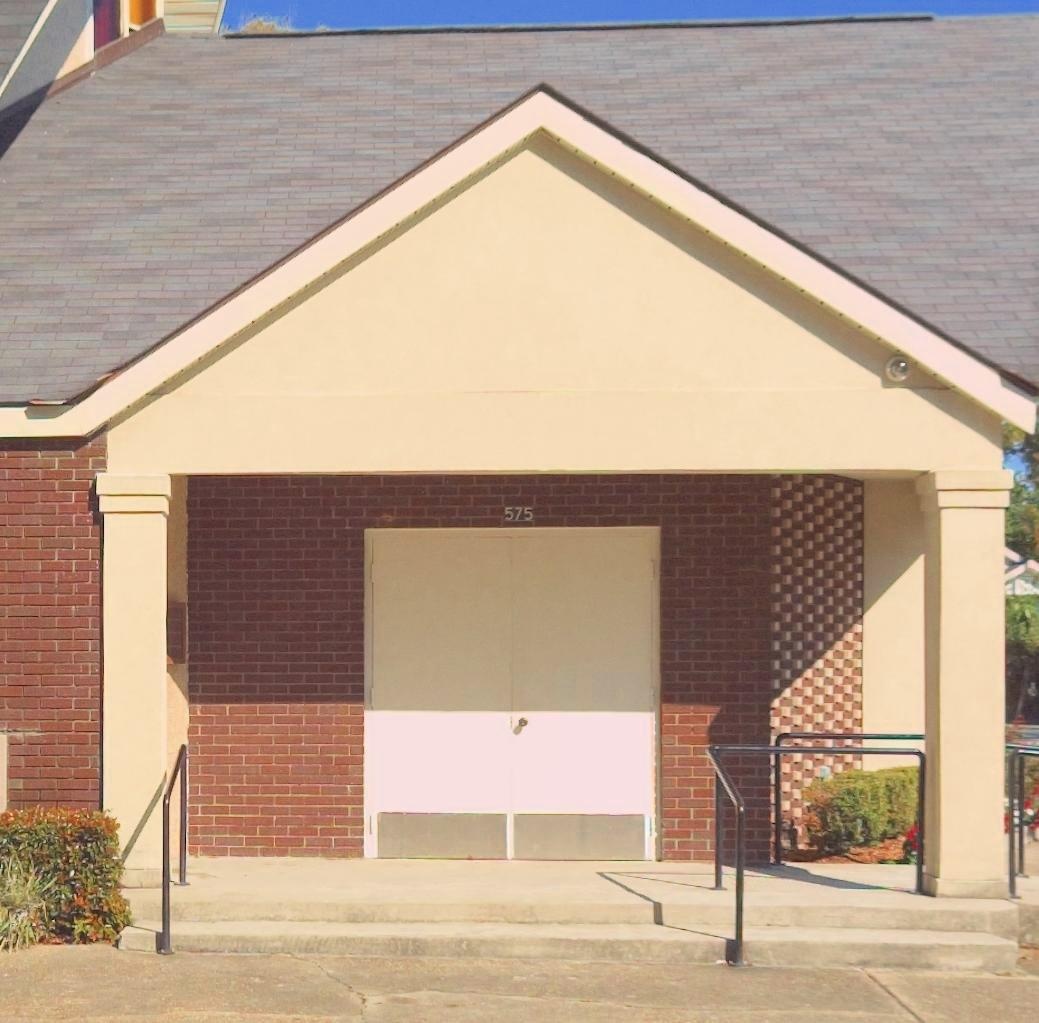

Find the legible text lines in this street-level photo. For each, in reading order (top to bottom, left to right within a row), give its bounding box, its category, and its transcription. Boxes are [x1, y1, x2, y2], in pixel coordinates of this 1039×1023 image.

[503, 505, 535, 522] StreetNumber: 575